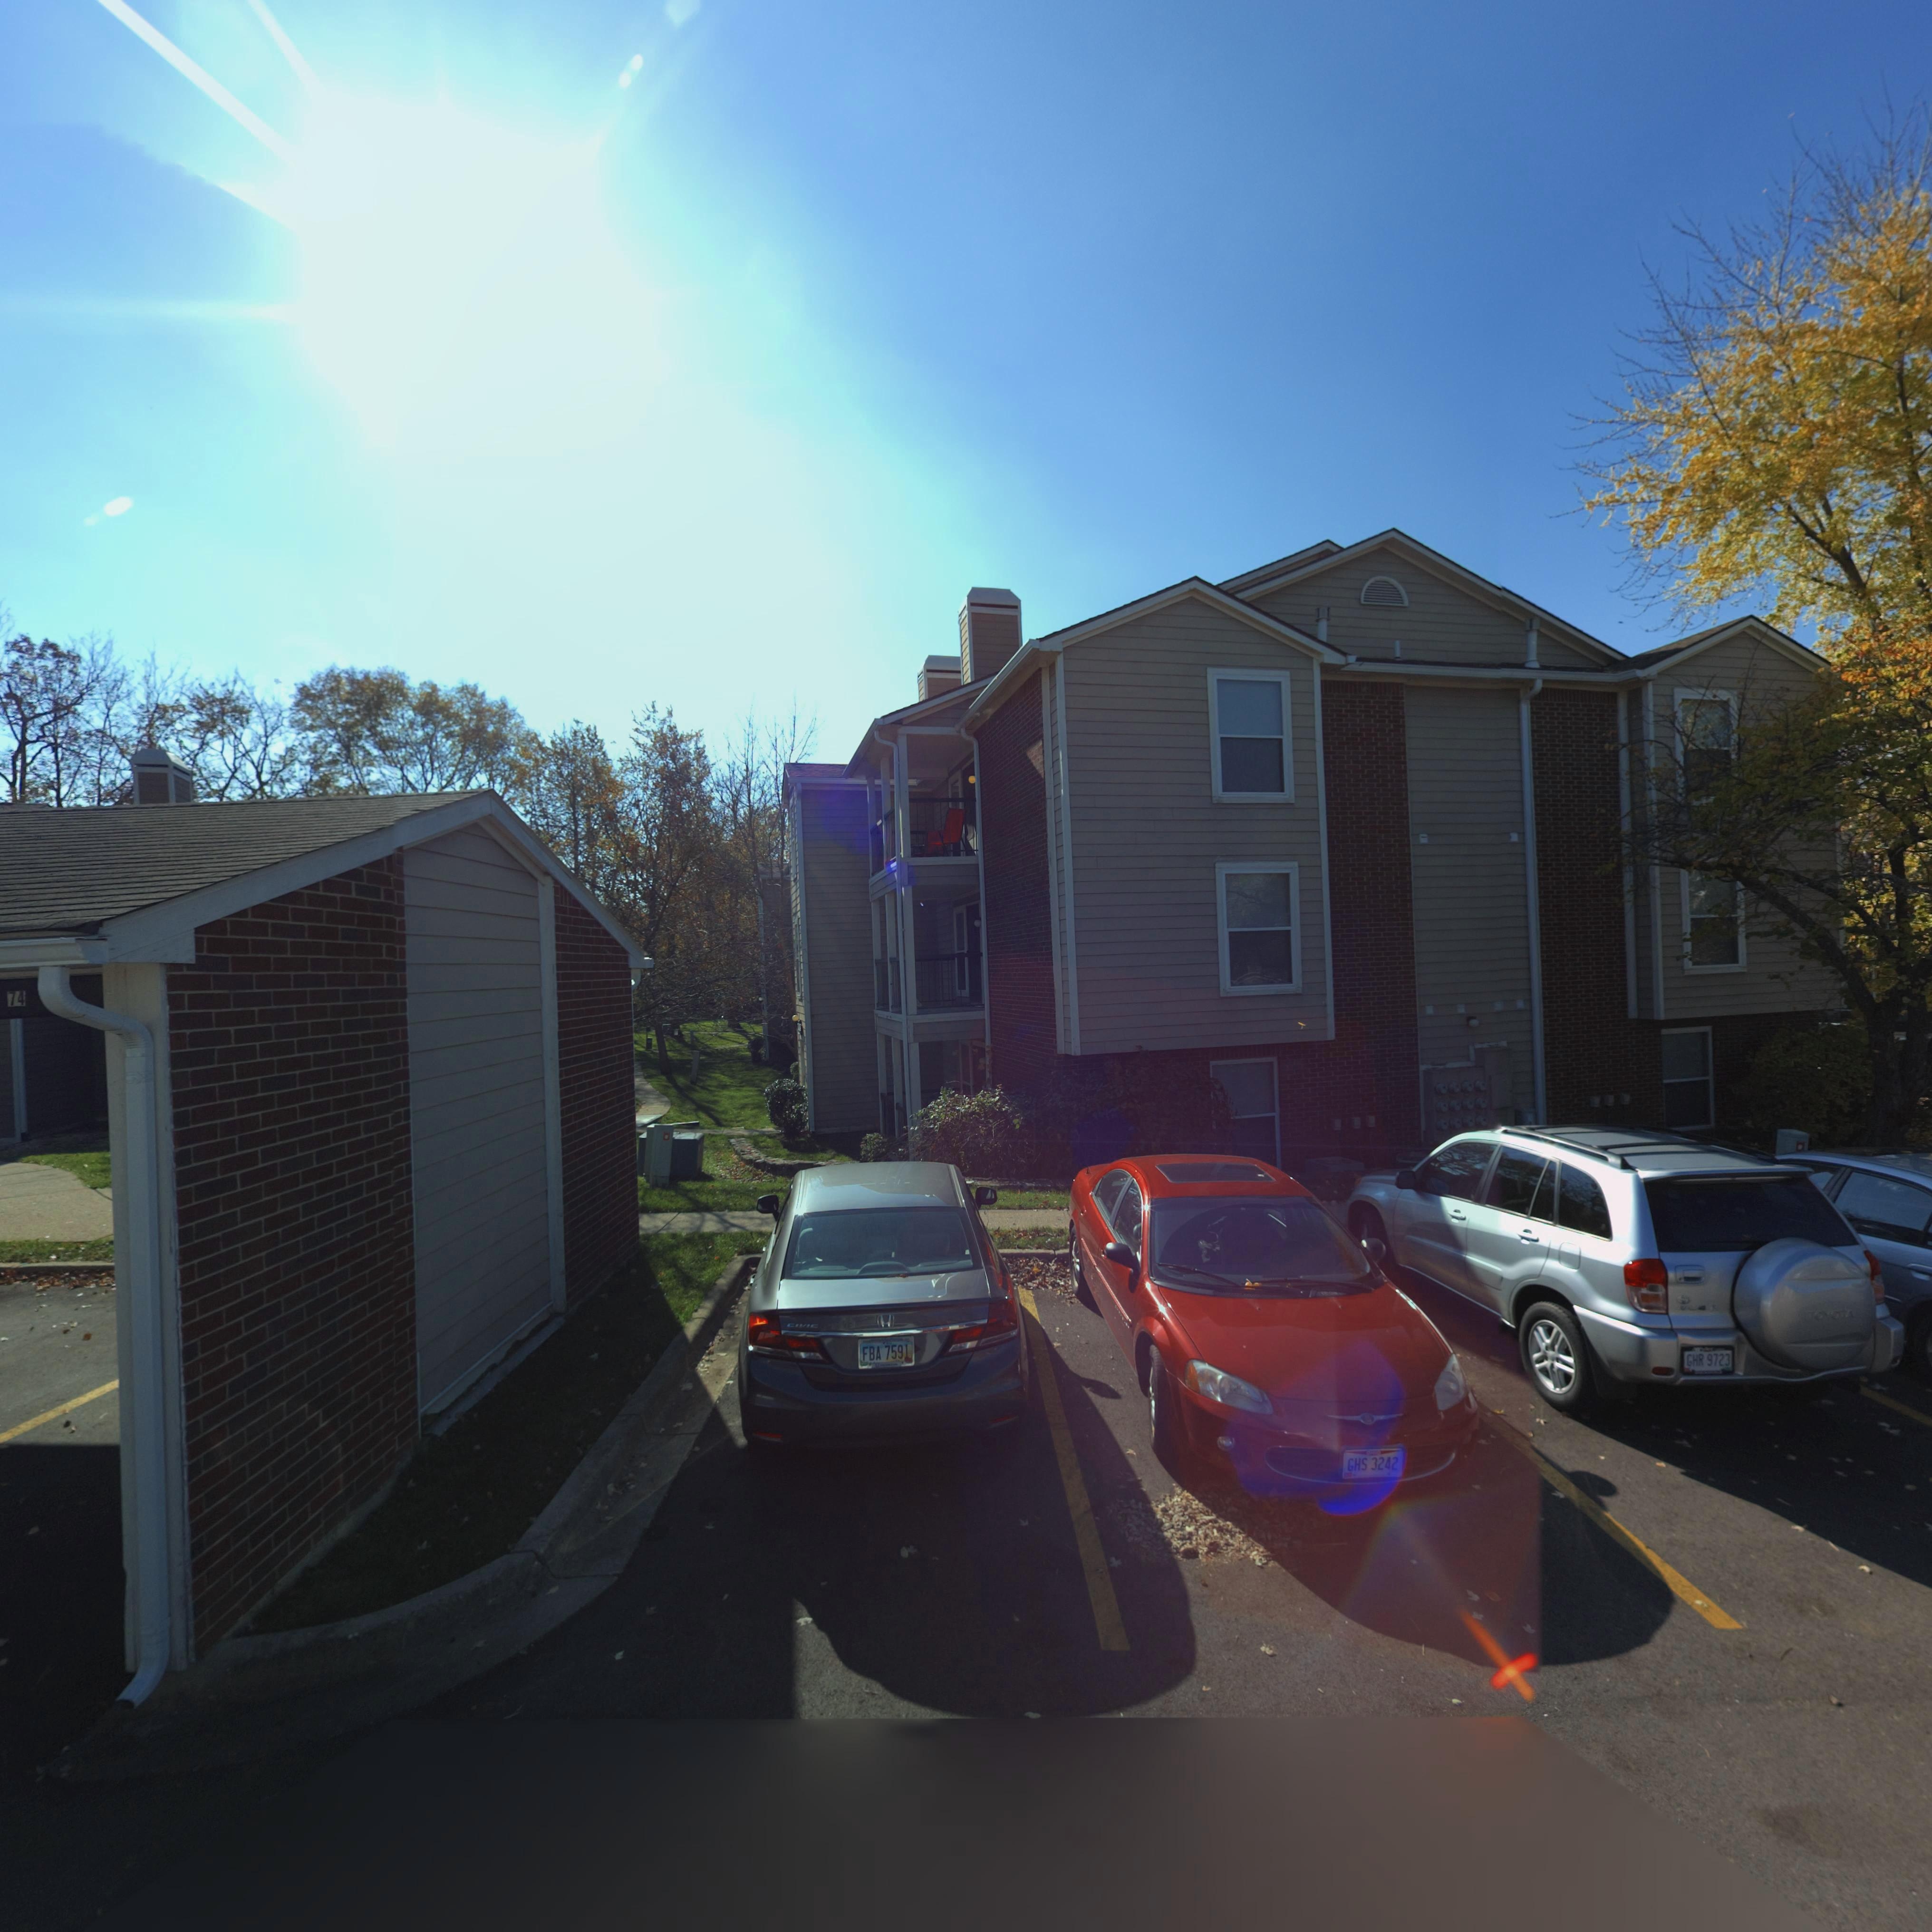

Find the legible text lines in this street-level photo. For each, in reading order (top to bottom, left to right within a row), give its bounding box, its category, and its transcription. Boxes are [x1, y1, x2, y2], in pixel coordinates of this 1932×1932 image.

[786, 1322, 820, 1329] None: CIVIC
[860, 1343, 911, 1363] None: FBA 7591
[1685, 1352, 1731, 1368] None: GHR 9723
[1346, 1455, 1400, 1473] None: GHS 3242